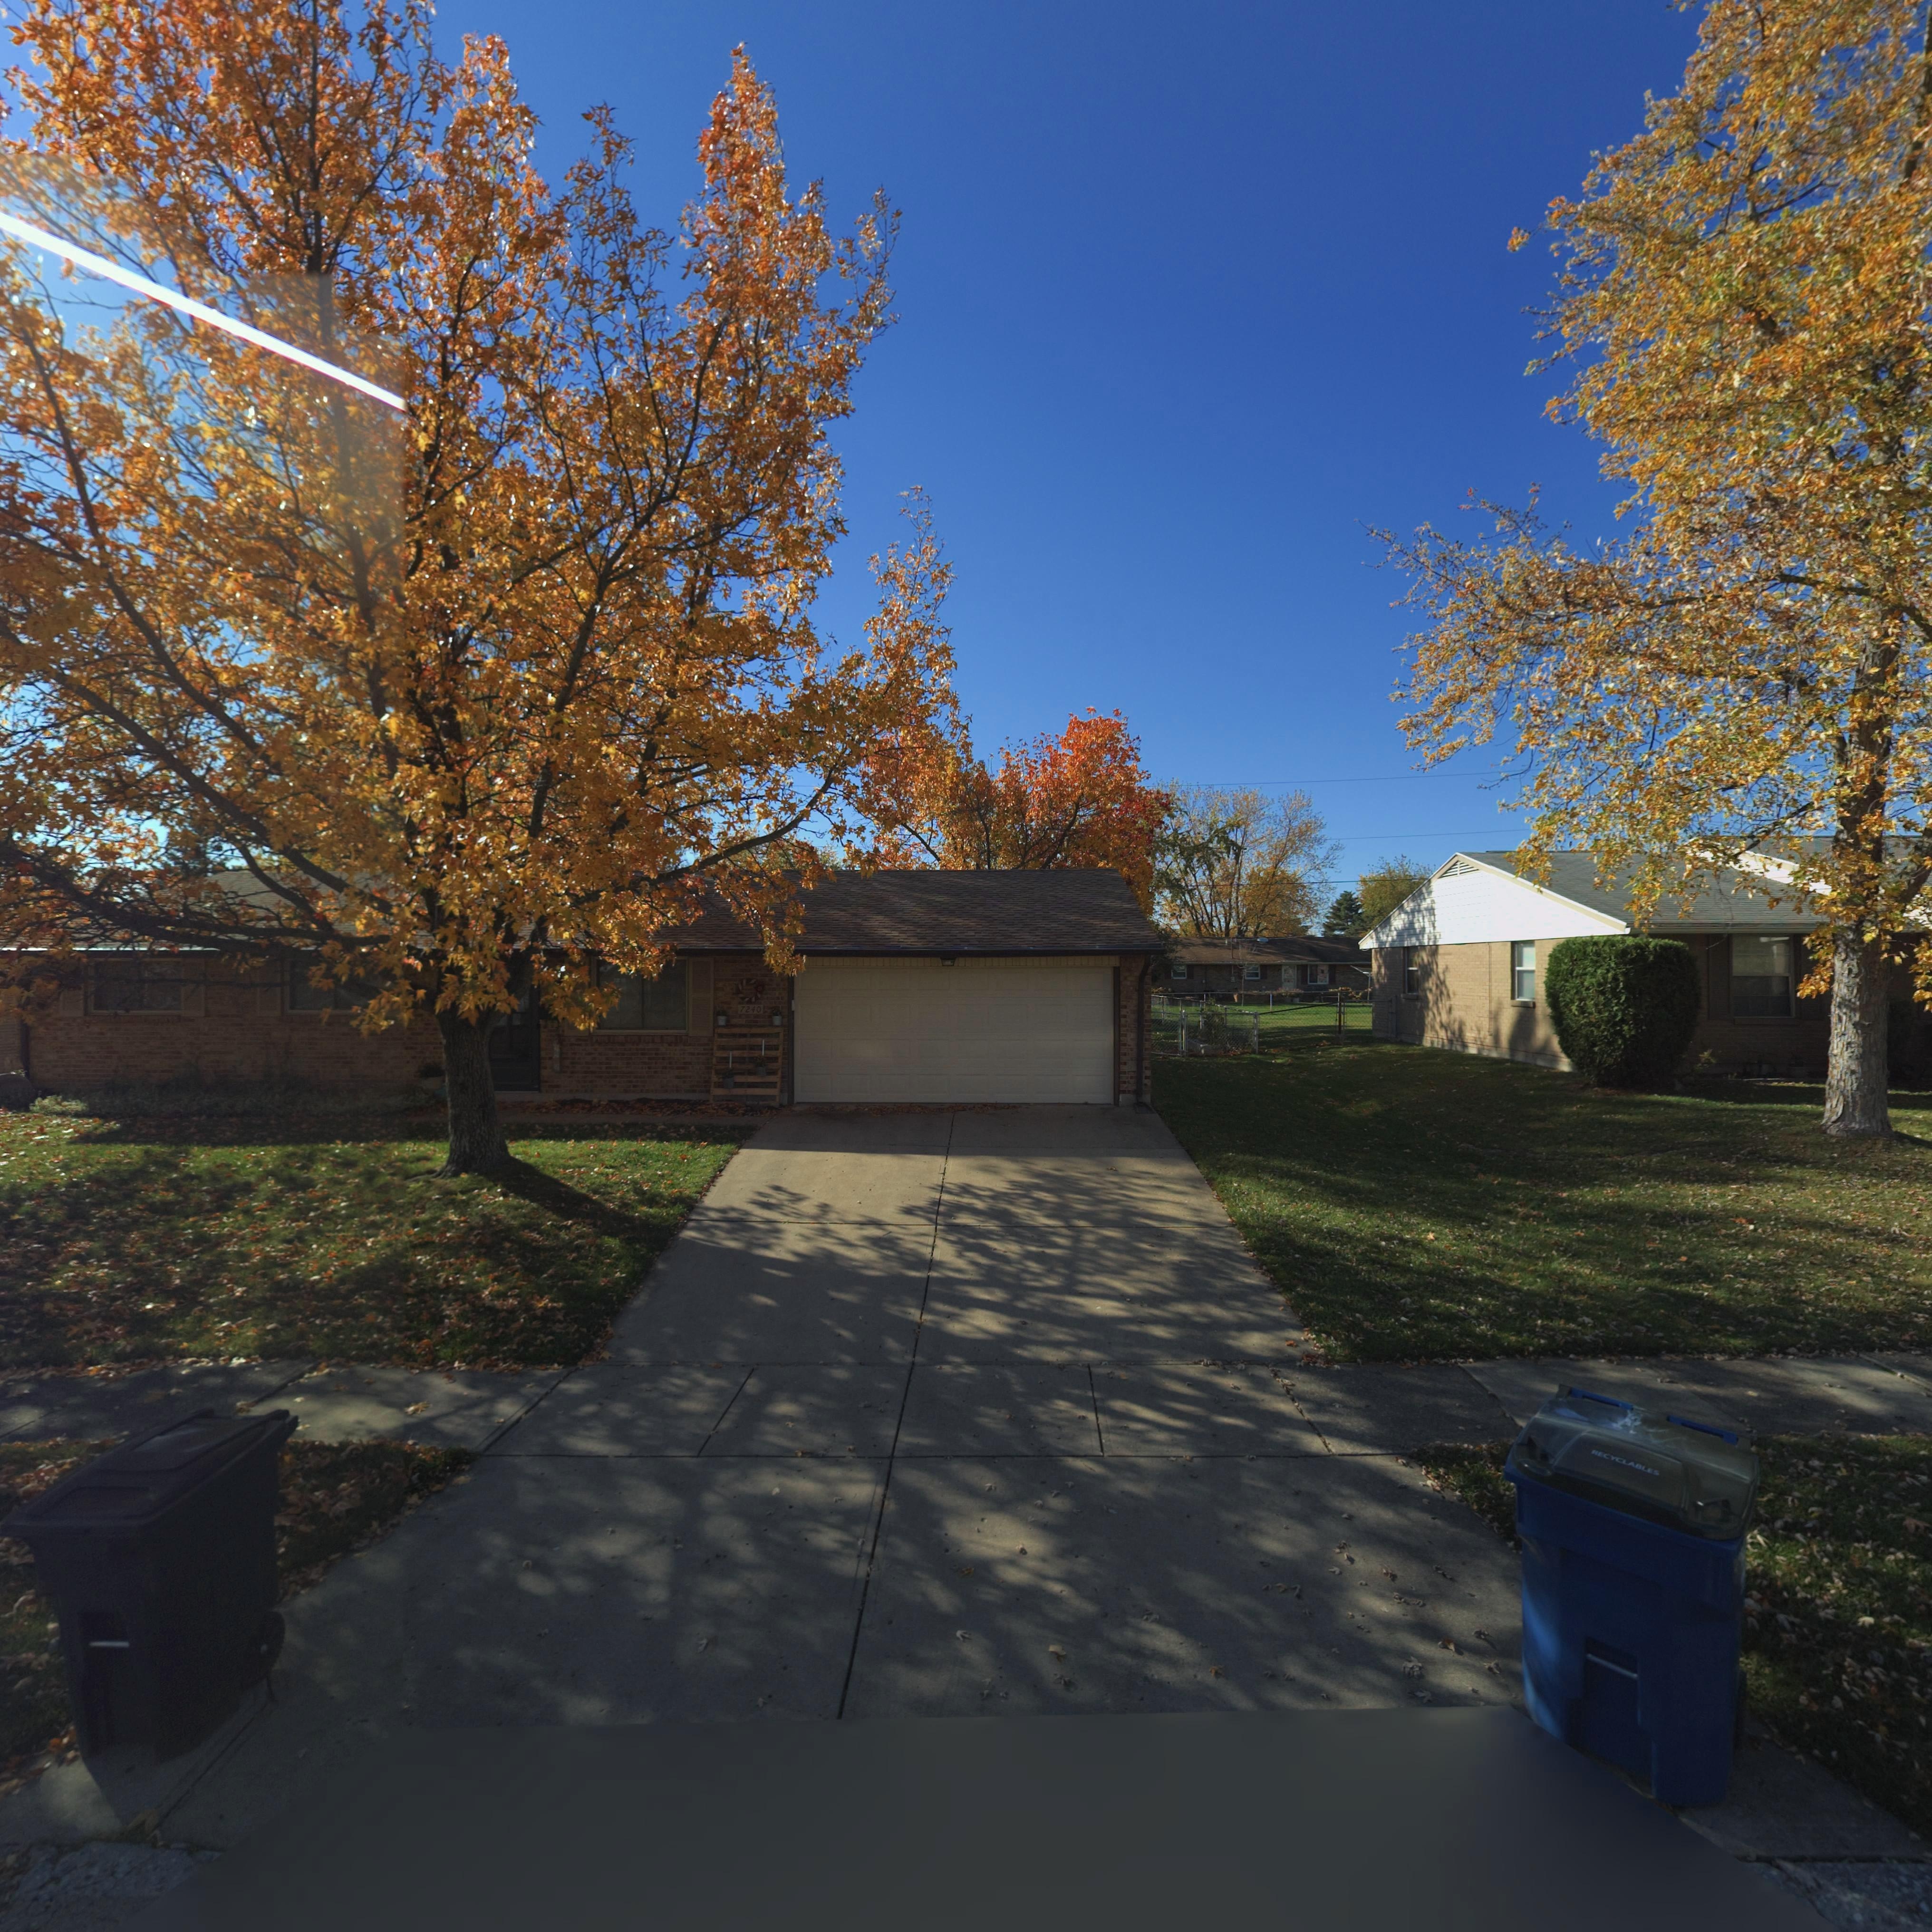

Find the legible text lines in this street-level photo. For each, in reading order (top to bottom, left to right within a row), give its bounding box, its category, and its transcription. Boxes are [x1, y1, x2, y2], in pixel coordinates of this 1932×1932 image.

[739, 1005, 762, 1014] StreetNumber: 7240